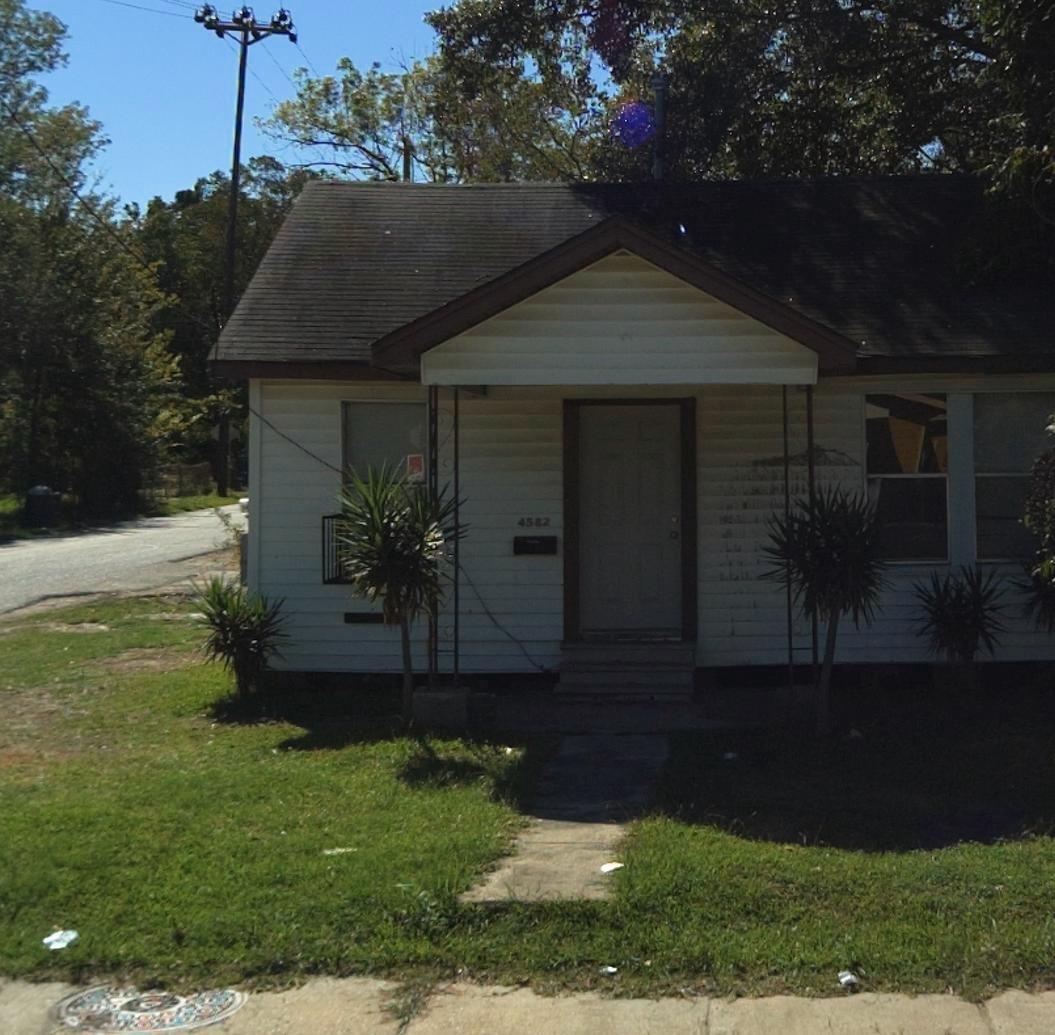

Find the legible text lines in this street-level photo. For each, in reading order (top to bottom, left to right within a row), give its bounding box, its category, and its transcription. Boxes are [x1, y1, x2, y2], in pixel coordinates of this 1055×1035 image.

[517, 517, 551, 527] StreetNumber: 4582